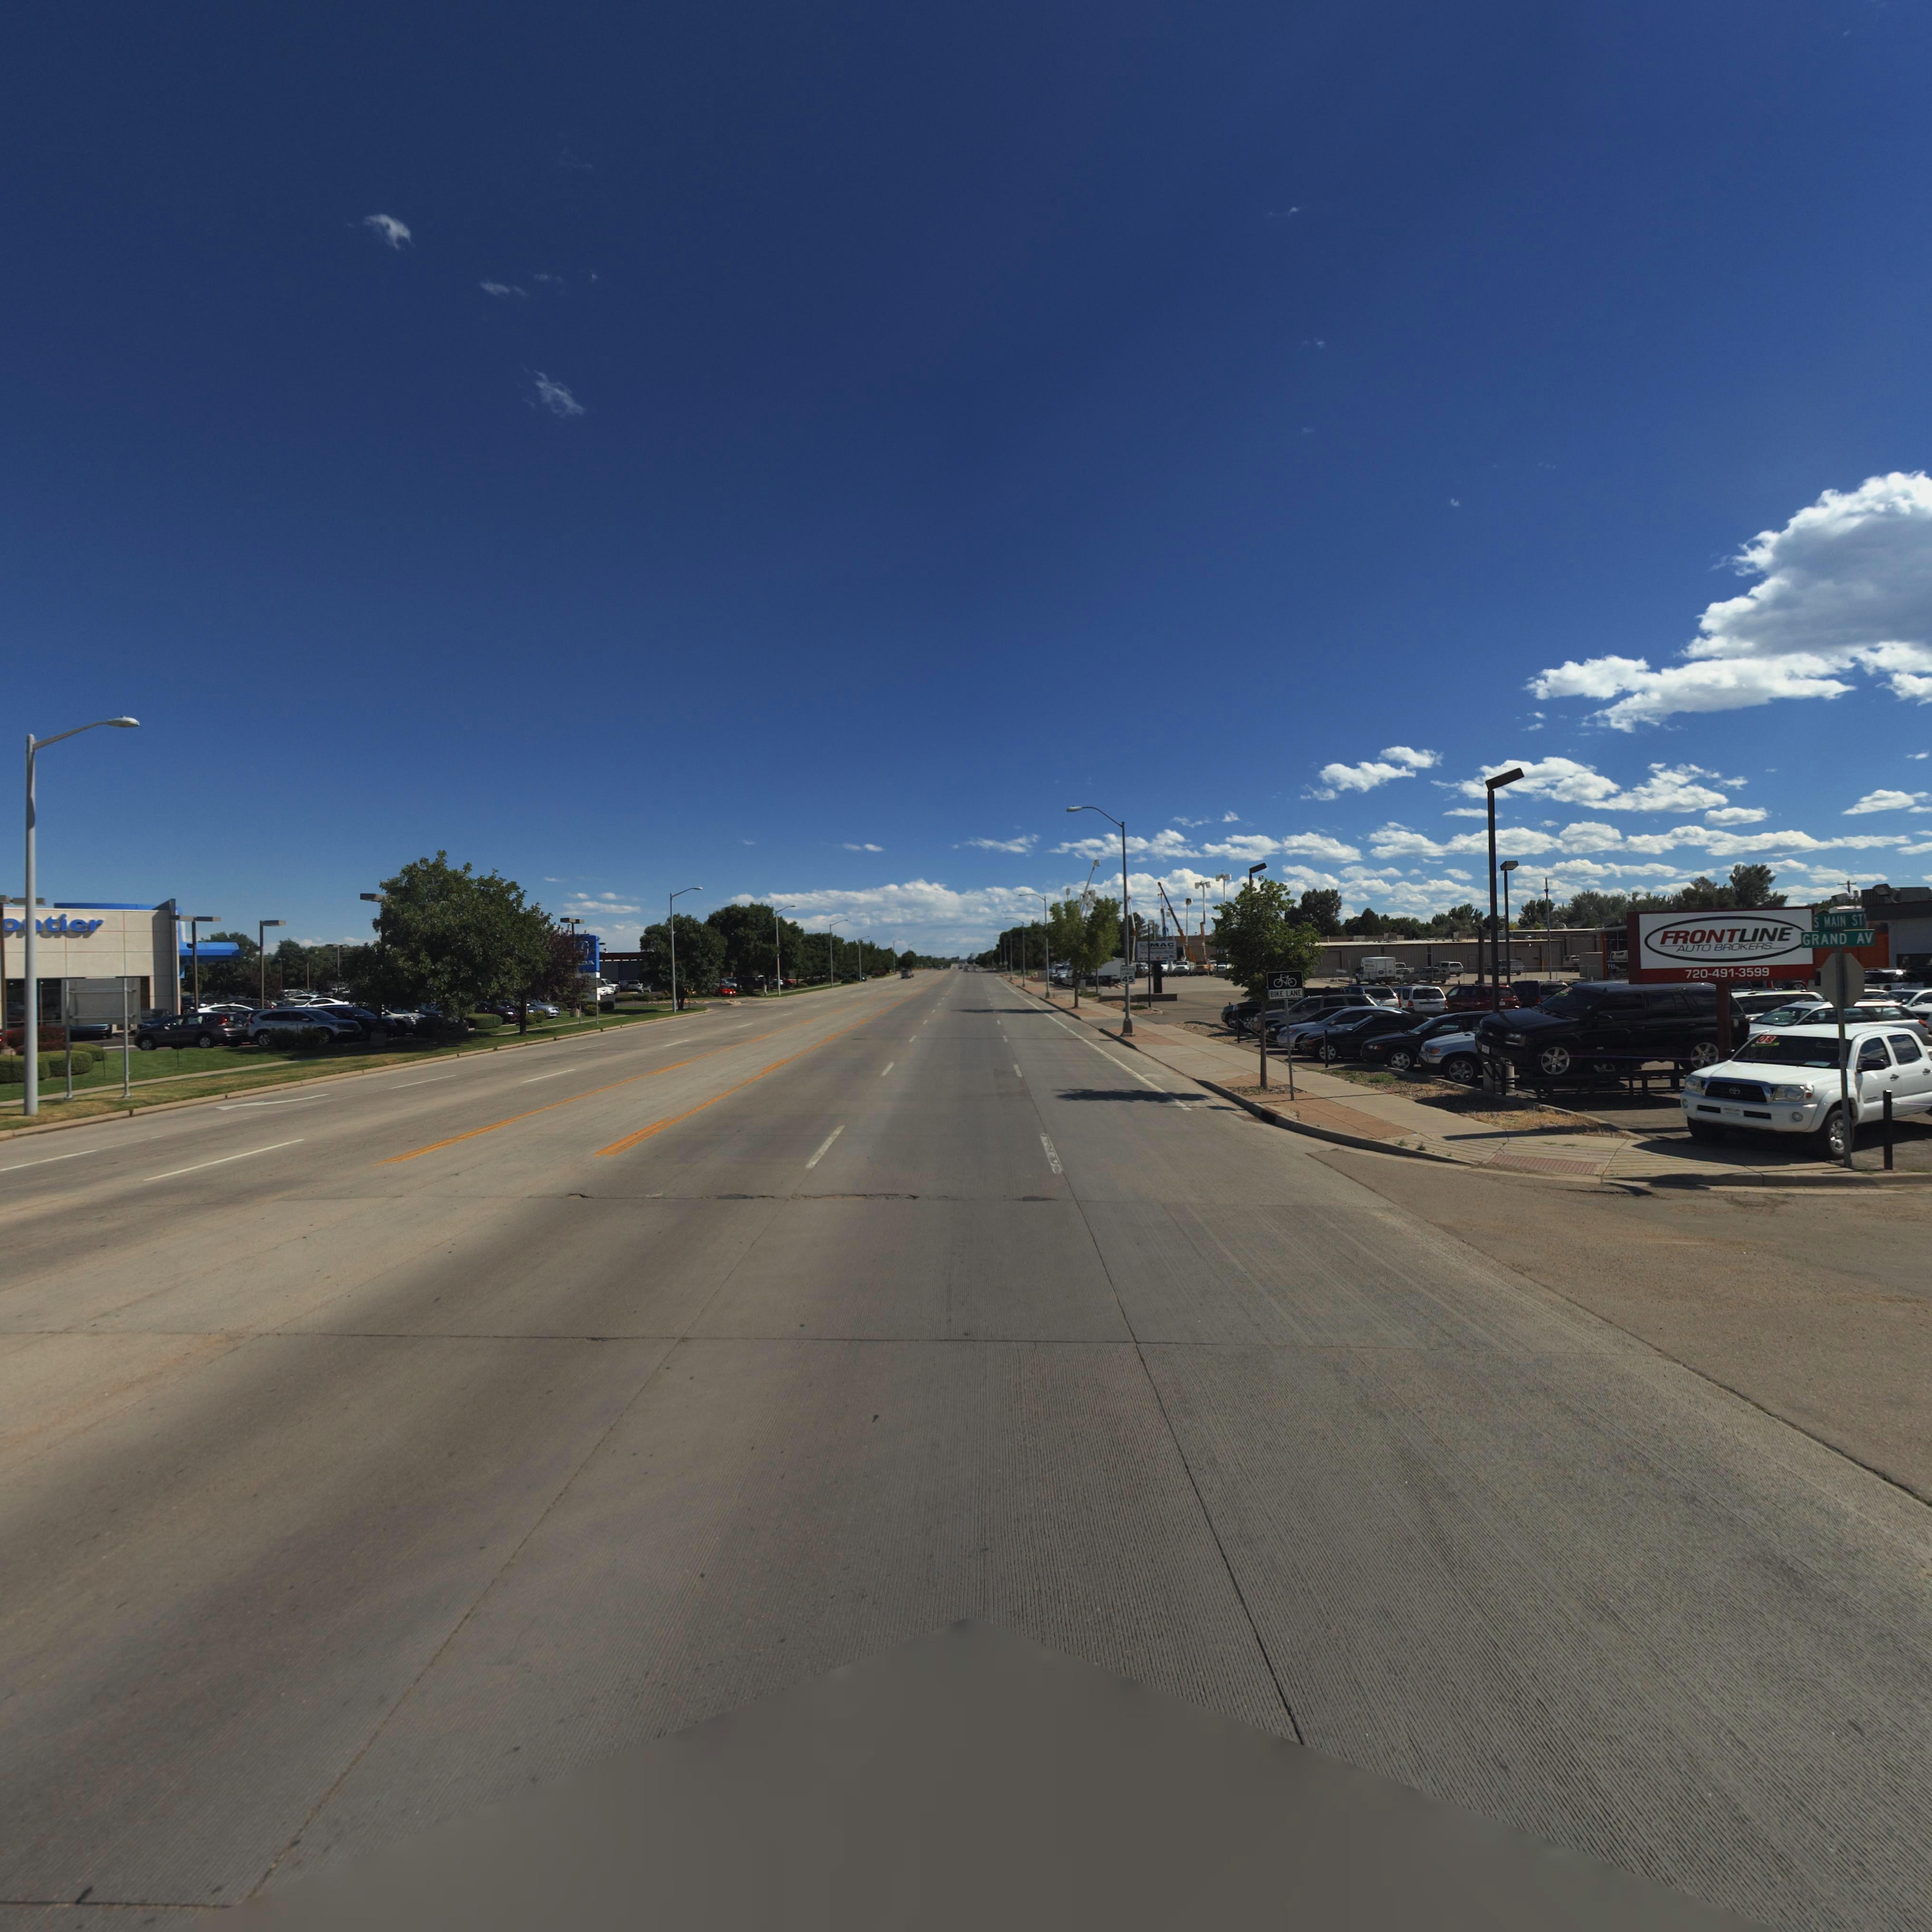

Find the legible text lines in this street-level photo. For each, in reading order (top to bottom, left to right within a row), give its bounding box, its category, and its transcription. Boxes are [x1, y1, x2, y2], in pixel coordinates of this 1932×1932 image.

[1813, 913, 1864, 929] StreetName: S MAIN ST
[1659, 925, 1794, 945] BusinessName: FRONTLINE
[1802, 931, 1874, 946] StreetName: GRAND AV
[1150, 942, 1174, 947] BusinessName: MAC
[1675, 942, 1774, 952] BusinessName: AUTO BROKERS
[563, 959, 594, 966] BusinessName: ***DA
[1606, 964, 1616, 969] StreetNumber: 715